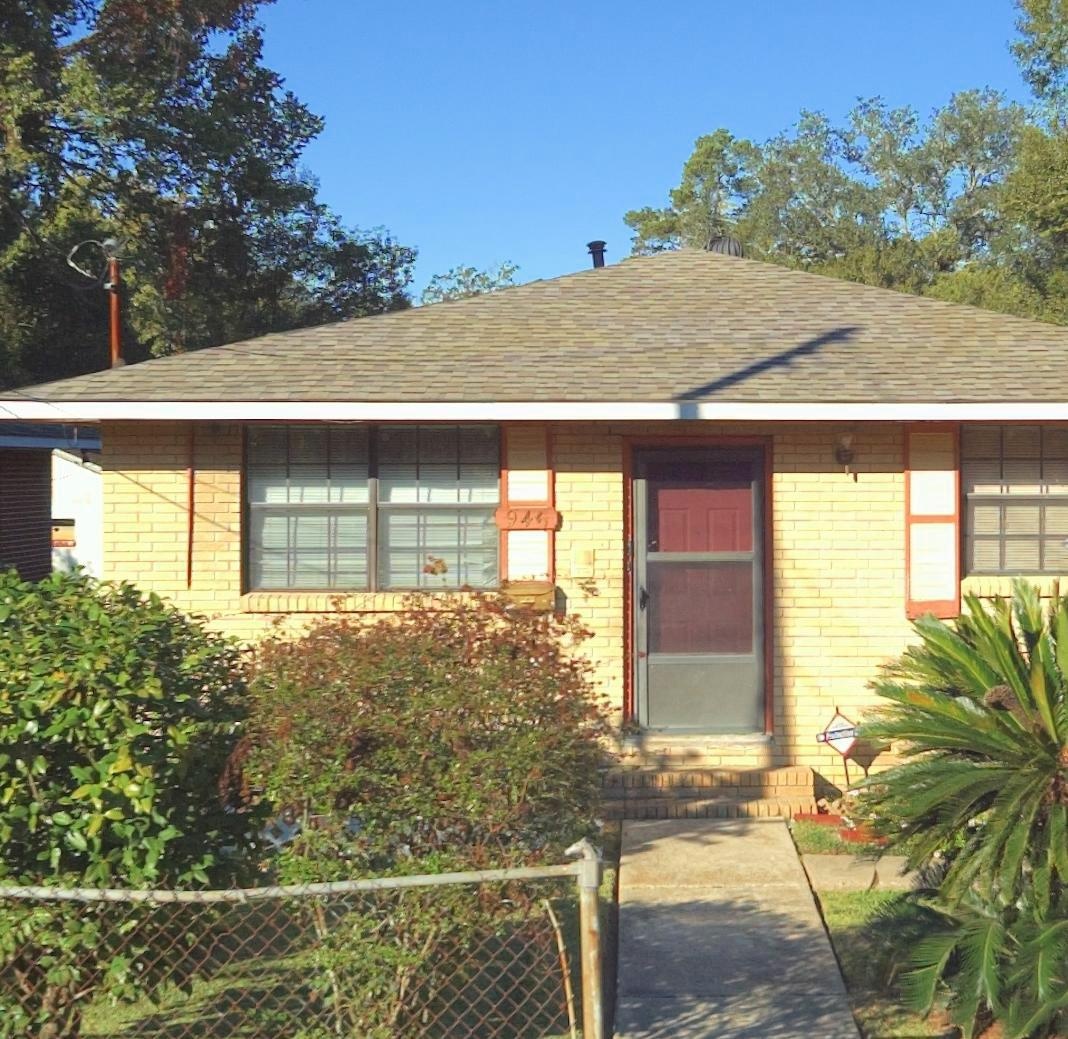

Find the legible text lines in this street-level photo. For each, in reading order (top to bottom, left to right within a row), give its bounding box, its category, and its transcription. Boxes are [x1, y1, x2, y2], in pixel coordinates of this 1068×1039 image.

[503, 508, 550, 530] StreetNumber: 945